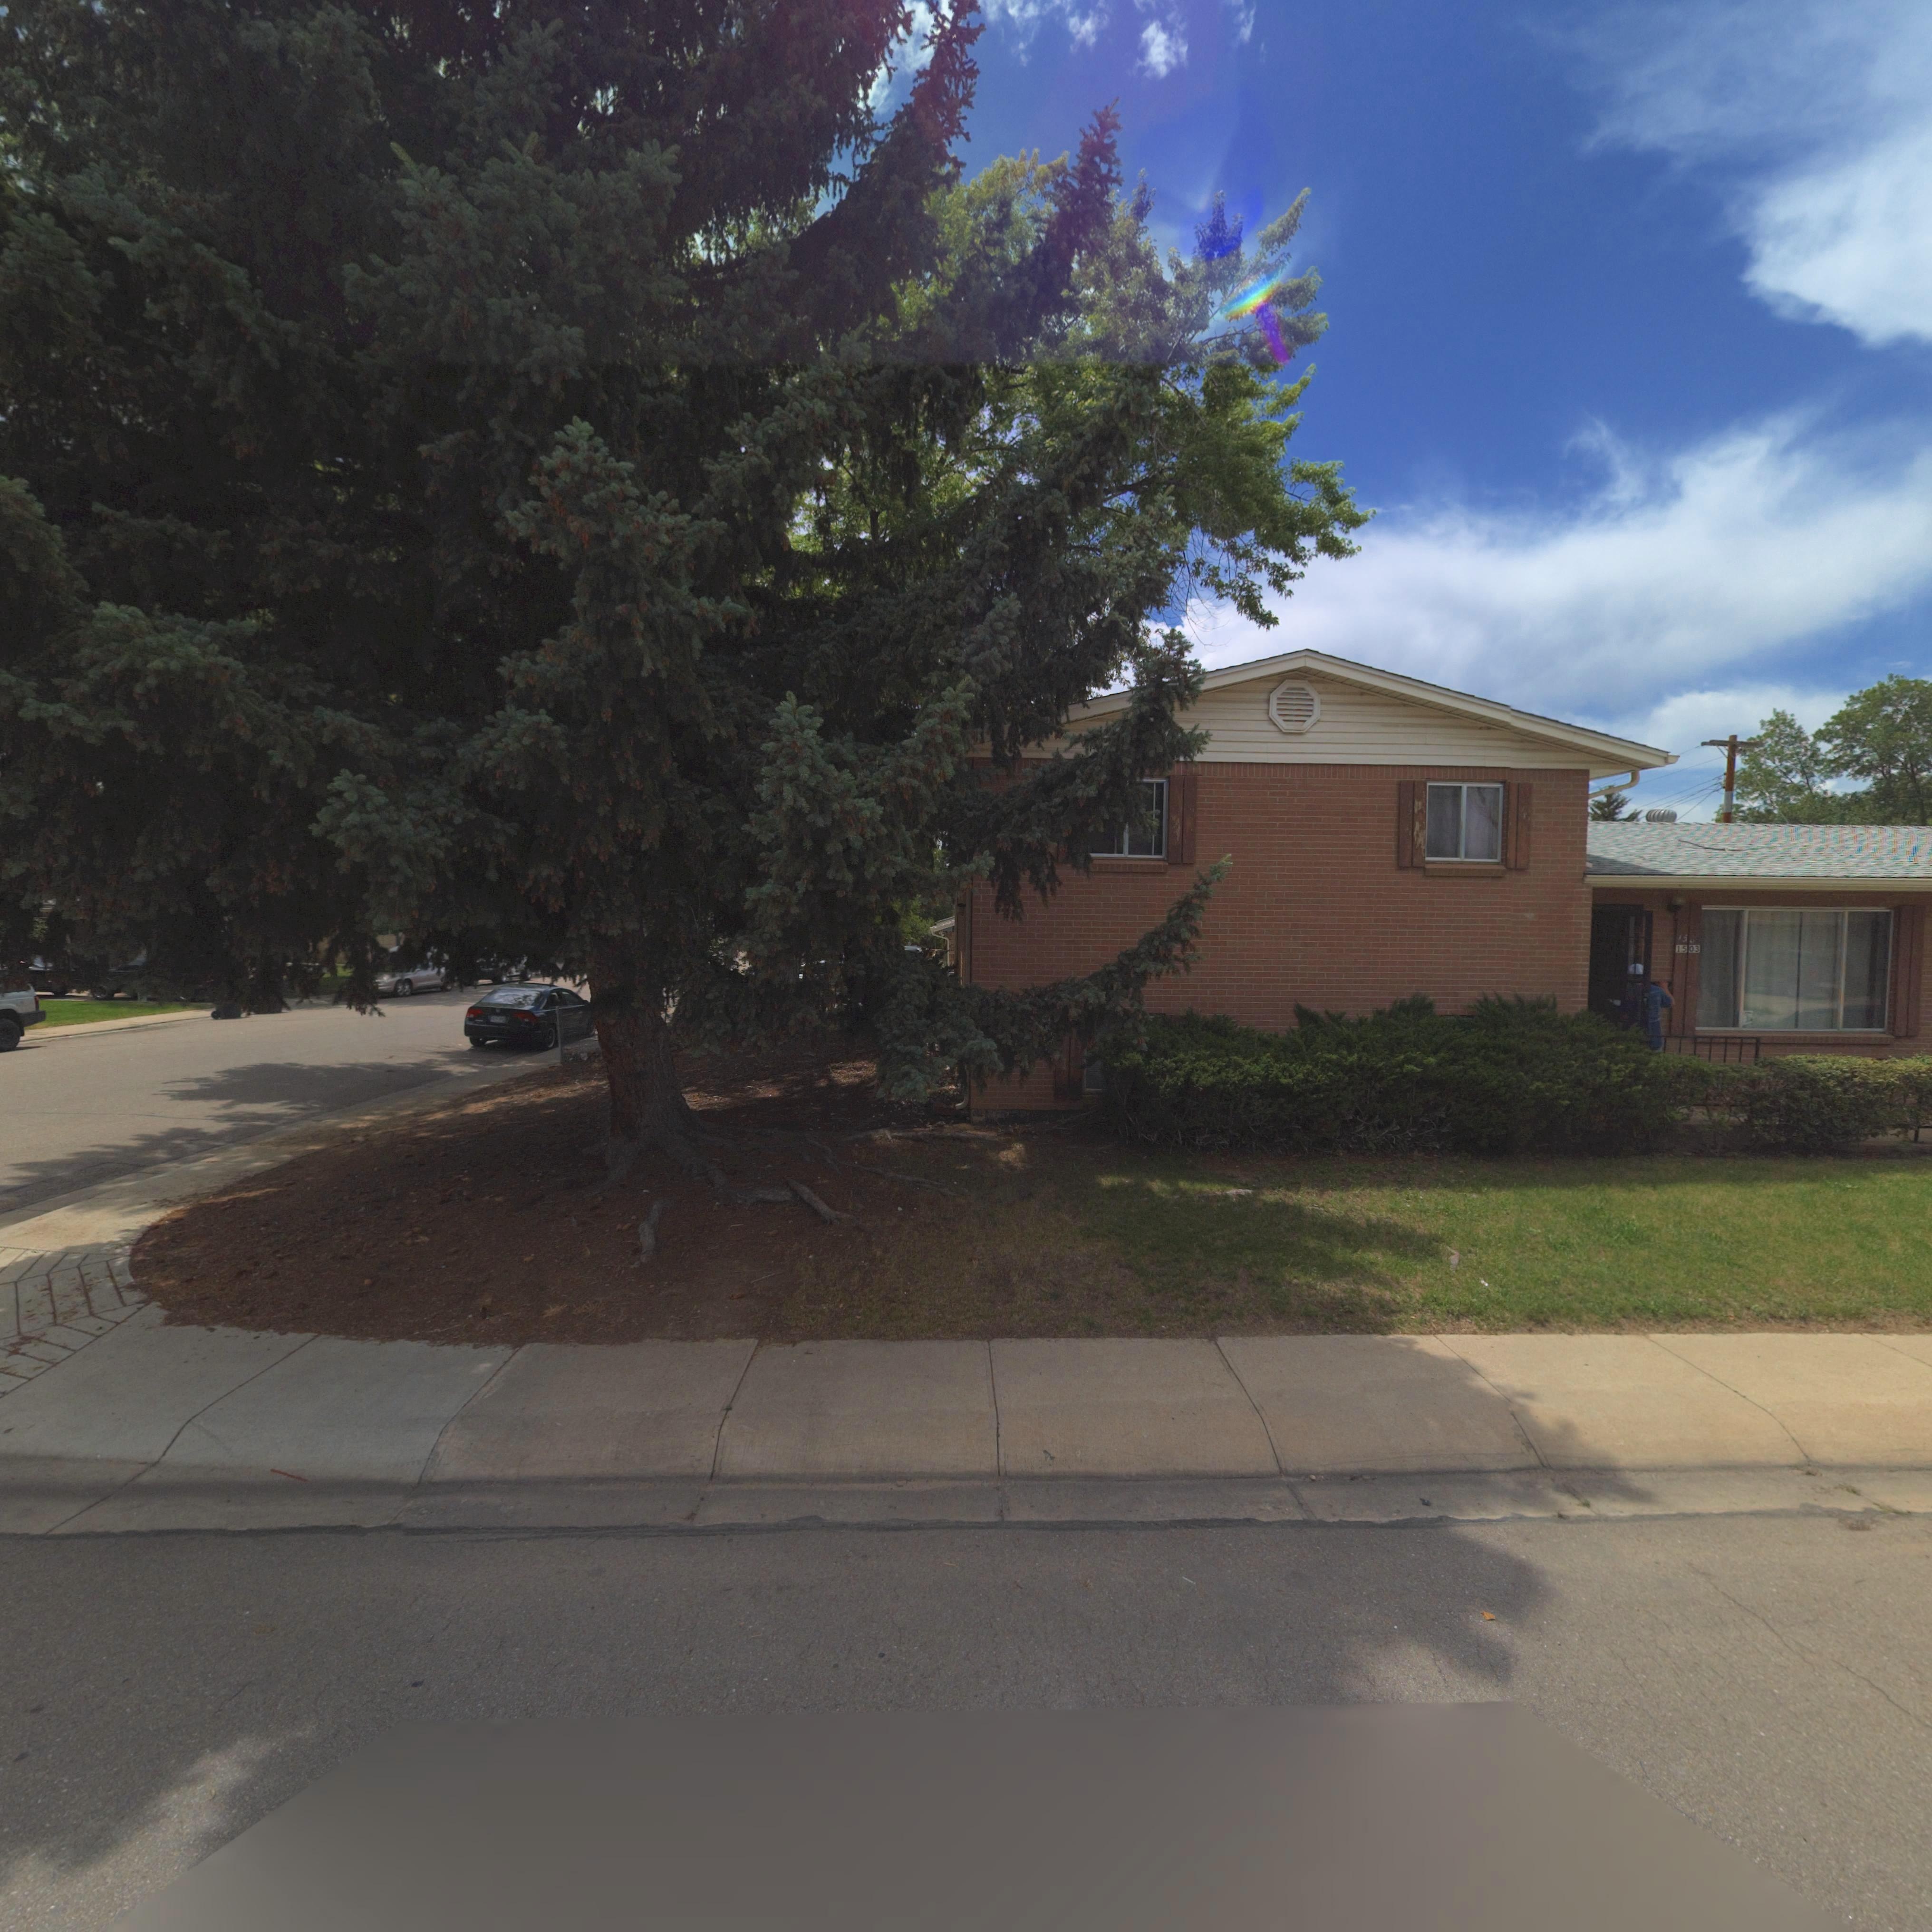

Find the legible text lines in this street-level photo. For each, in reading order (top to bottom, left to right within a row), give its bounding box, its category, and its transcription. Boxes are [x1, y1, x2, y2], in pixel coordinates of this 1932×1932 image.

[1677, 934, 1688, 943] StreetNumber: 15
[1676, 945, 1700, 953] StreetNumber: 1503